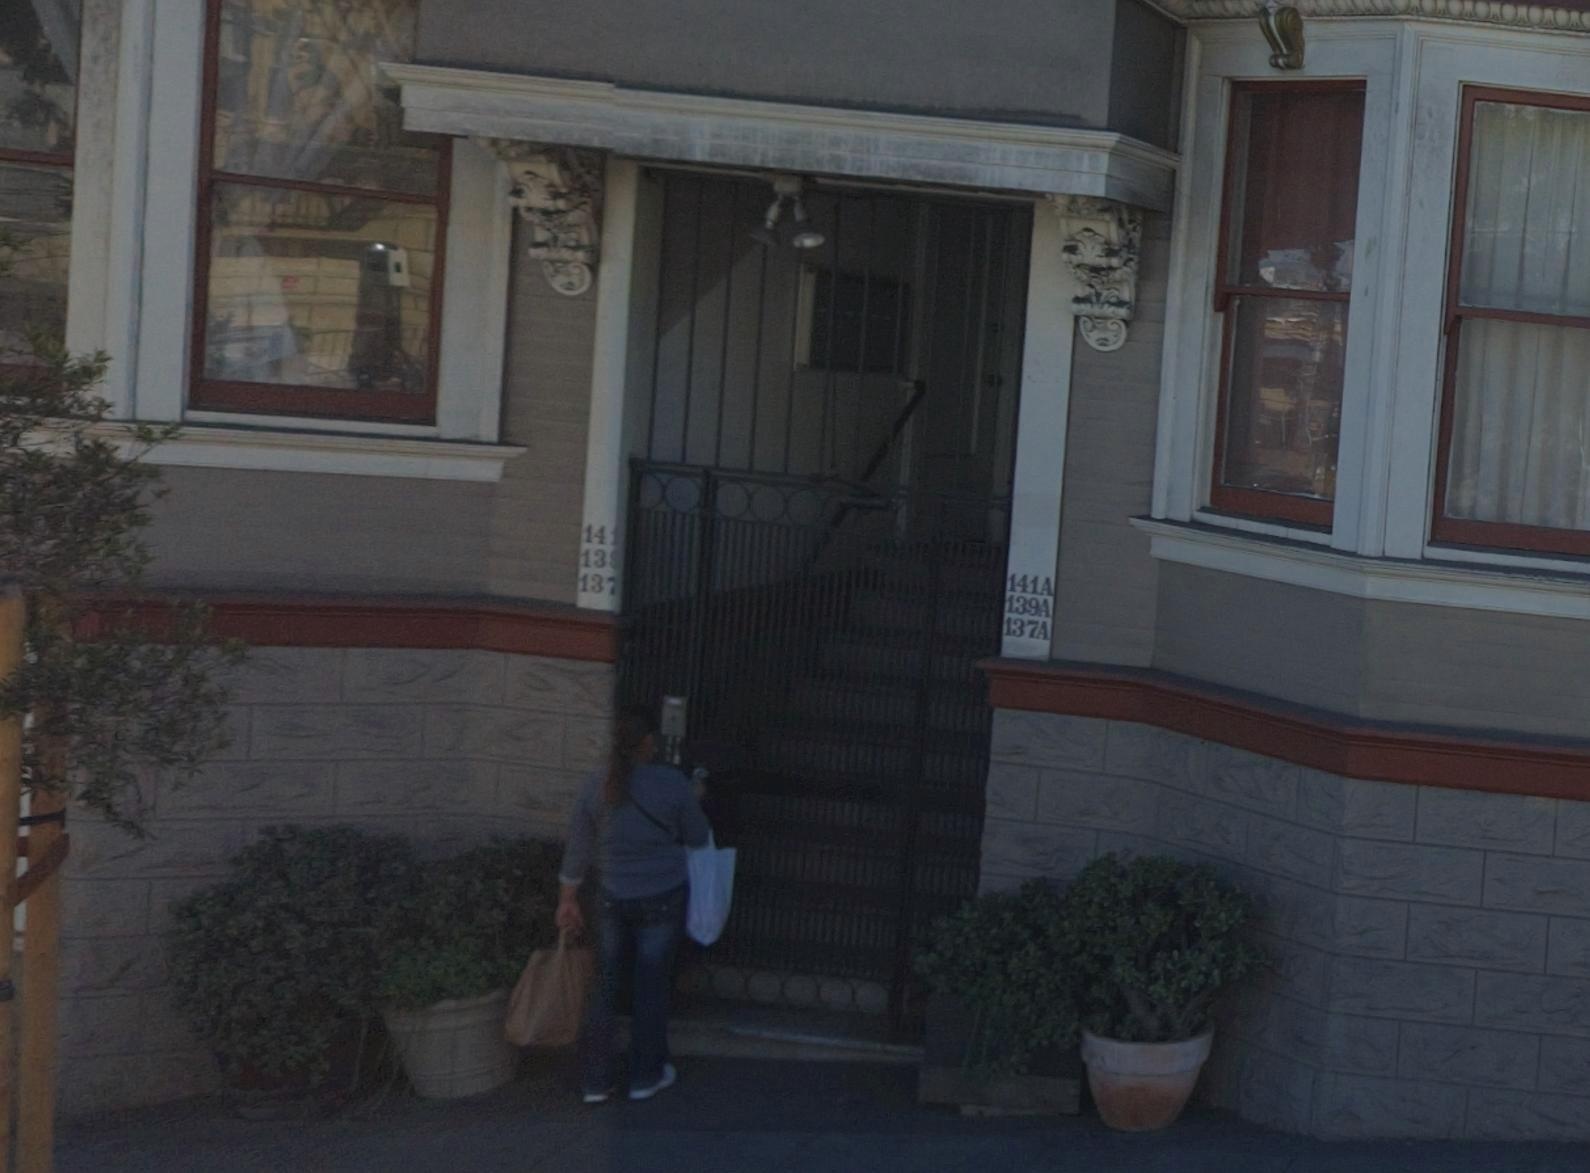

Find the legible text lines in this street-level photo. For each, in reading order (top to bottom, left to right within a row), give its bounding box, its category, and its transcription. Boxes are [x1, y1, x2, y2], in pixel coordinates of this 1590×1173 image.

[581, 521, 622, 547] StreetNumber: 141
[578, 547, 621, 571] StreetNumber: 13*
[576, 572, 620, 597] StreetNumber: 137
[1006, 571, 1056, 597] StreetNumber: 141A
[1003, 592, 1055, 620] StreetNumber: 139A
[1000, 615, 1052, 642] StreetNumber: 137A